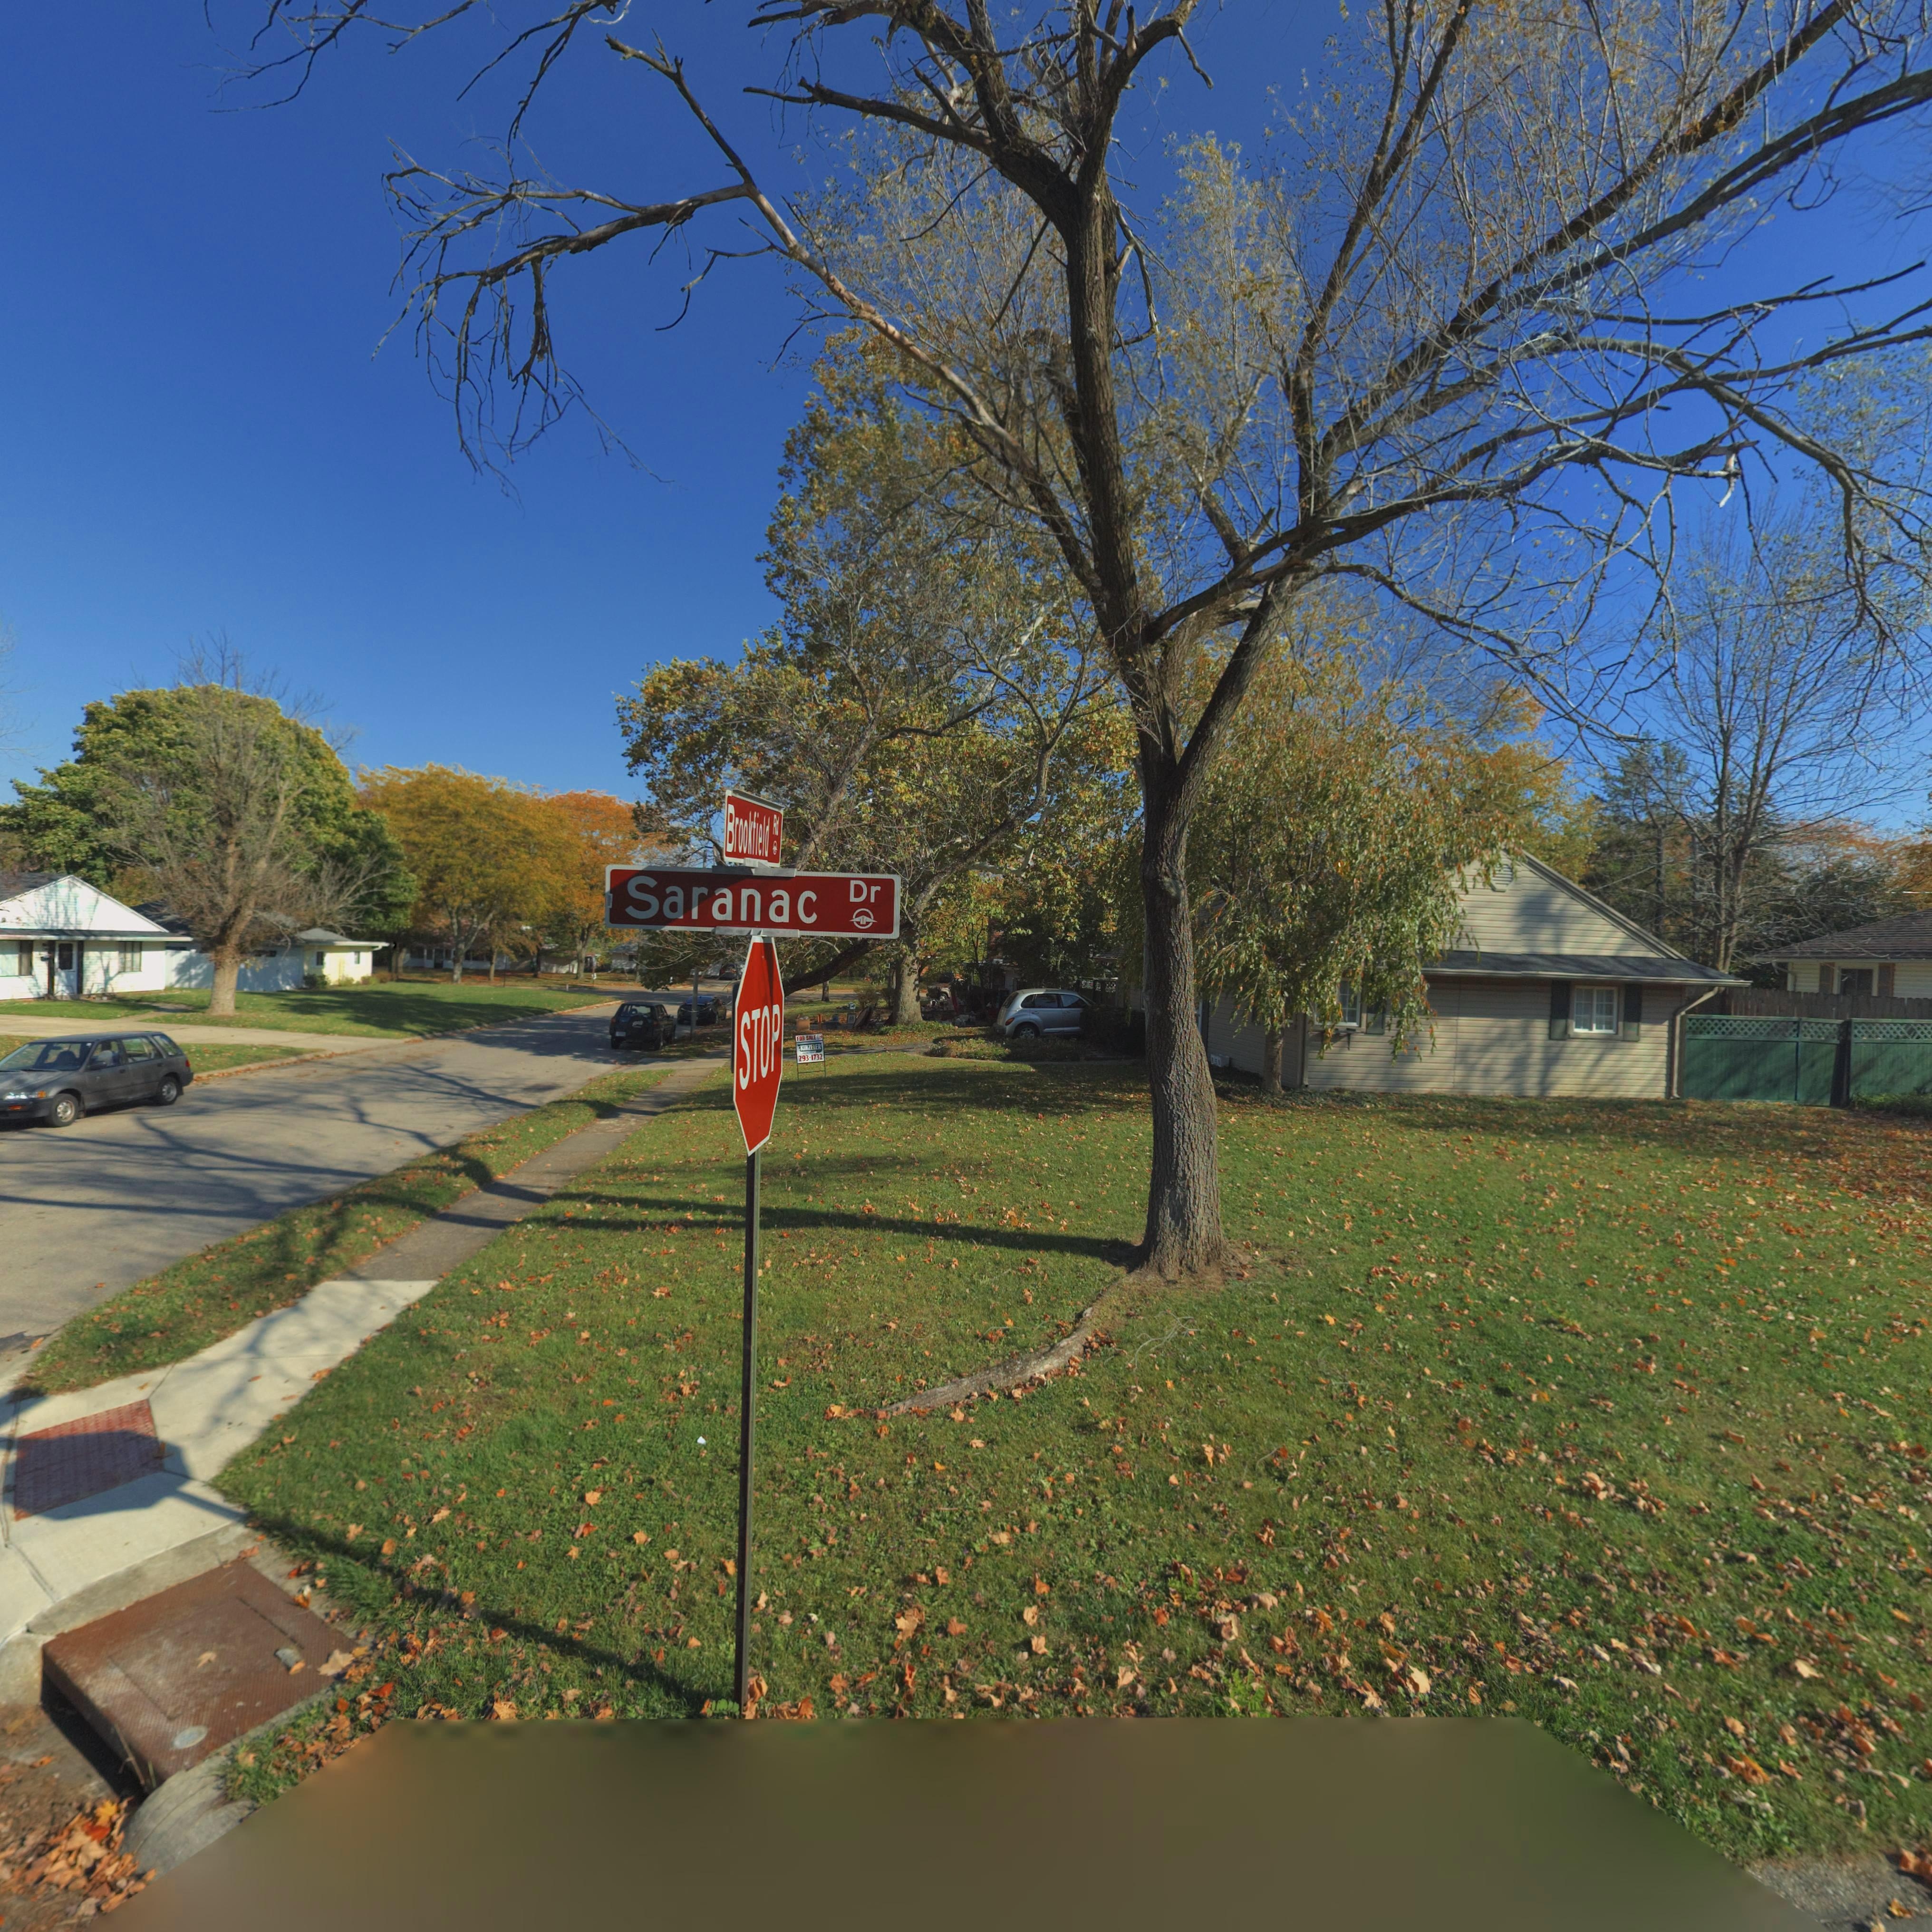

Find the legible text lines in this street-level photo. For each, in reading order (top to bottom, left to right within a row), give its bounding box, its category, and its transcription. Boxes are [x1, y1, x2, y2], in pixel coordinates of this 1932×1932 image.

[725, 802, 780, 858] StreetName: Brookfield Rd
[625, 875, 882, 925] StreetName: Saranac Dr
[739, 1004, 780, 1091] None: STOP
[796, 1034, 817, 1042] None: FOR SALE
[800, 1043, 821, 1051] None: KINZELER
[798, 1053, 823, 1062] None: 293-1732